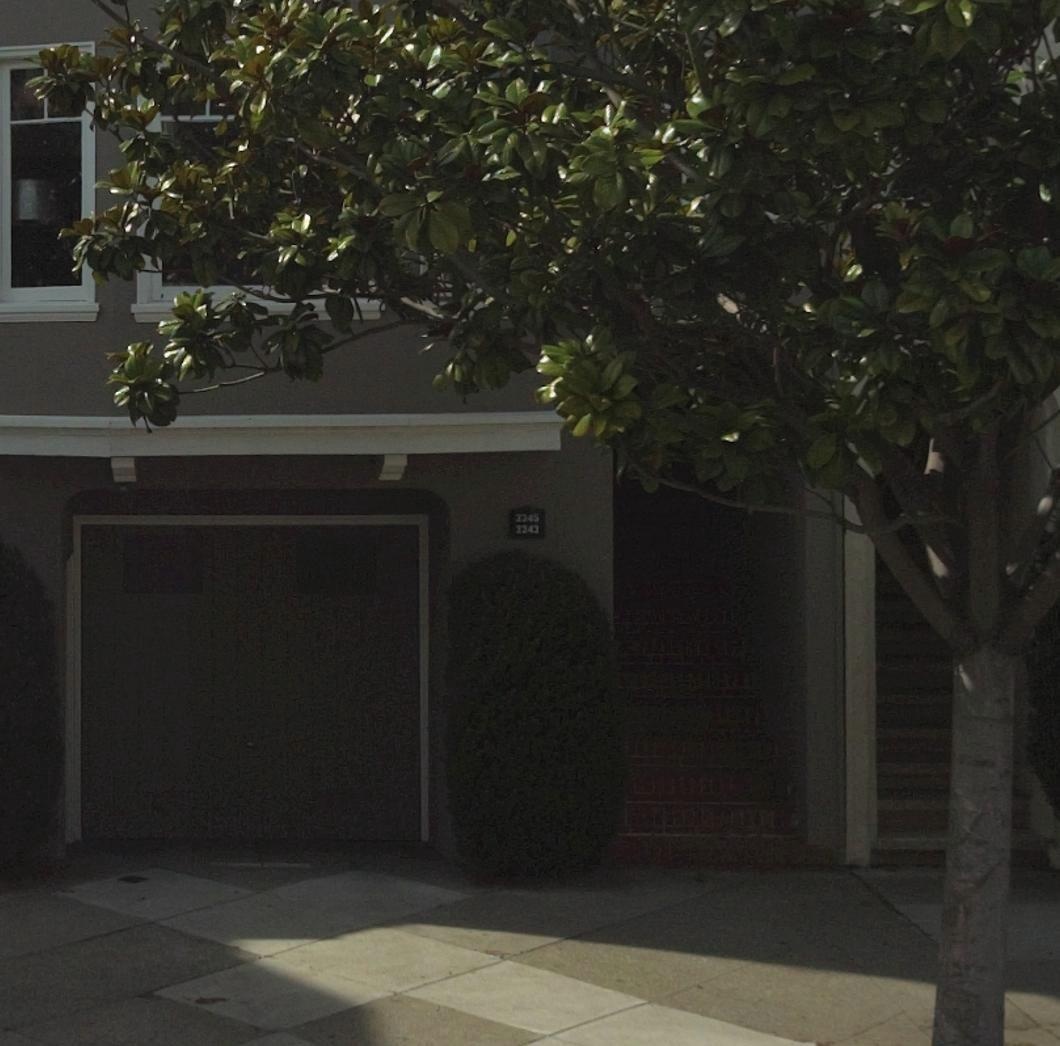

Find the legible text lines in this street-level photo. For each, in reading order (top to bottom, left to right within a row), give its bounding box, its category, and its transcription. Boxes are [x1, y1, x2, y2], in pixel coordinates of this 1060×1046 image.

[514, 512, 541, 524] StreetNumber: 3345
[514, 523, 541, 536] StreetNumber: 3343